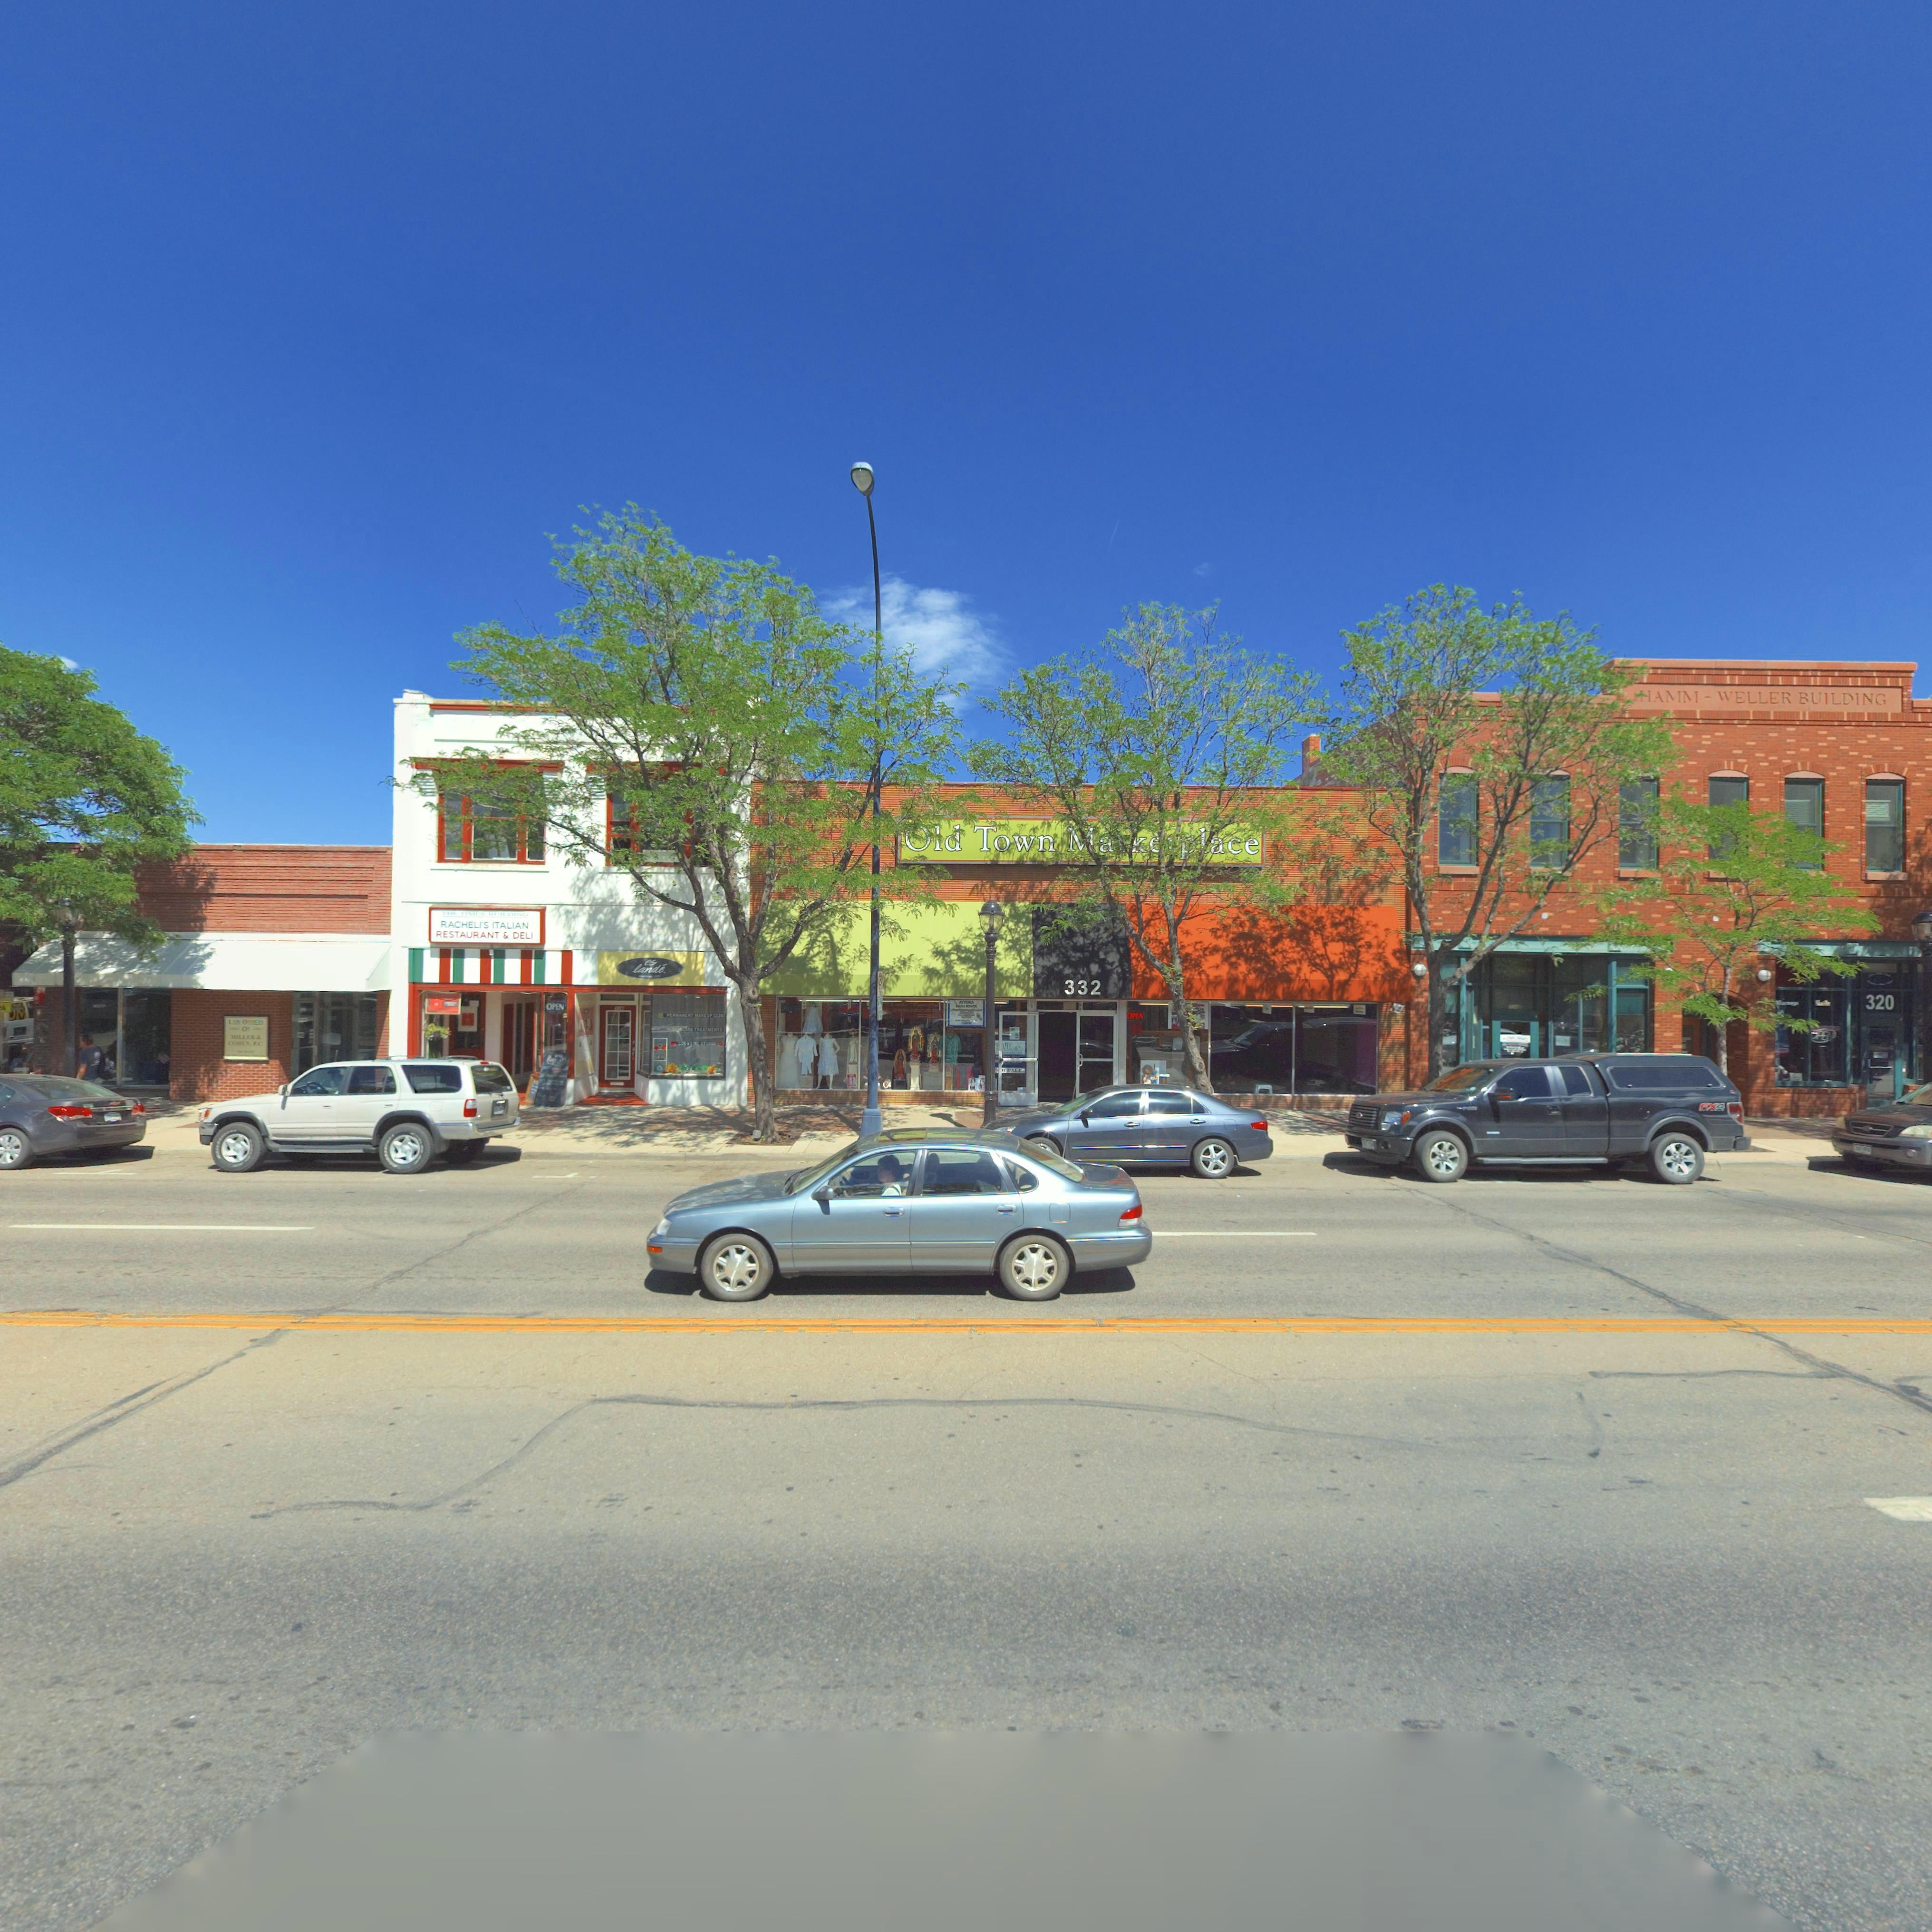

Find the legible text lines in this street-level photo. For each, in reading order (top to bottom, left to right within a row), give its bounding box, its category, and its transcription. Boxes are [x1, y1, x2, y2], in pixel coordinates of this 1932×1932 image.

[903, 822, 1260, 860] BusinessName: Old Town Ma*ke*place
[441, 920, 529, 929] BusinessName: RACHELI'S ITALIAN
[435, 930, 533, 939] BusinessName: RESTAURANT & DELI
[644, 959, 657, 966] BusinessName: es
[631, 963, 667, 974] BusinessName: lande.
[1064, 979, 1101, 995] StreetNumber: 332
[1864, 994, 1894, 1010] StreetNumber: 320
[231, 1034, 261, 1040] BusinessName: MILLER &
[228, 1040, 264, 1047] BusinessName: COHEN. P.C.